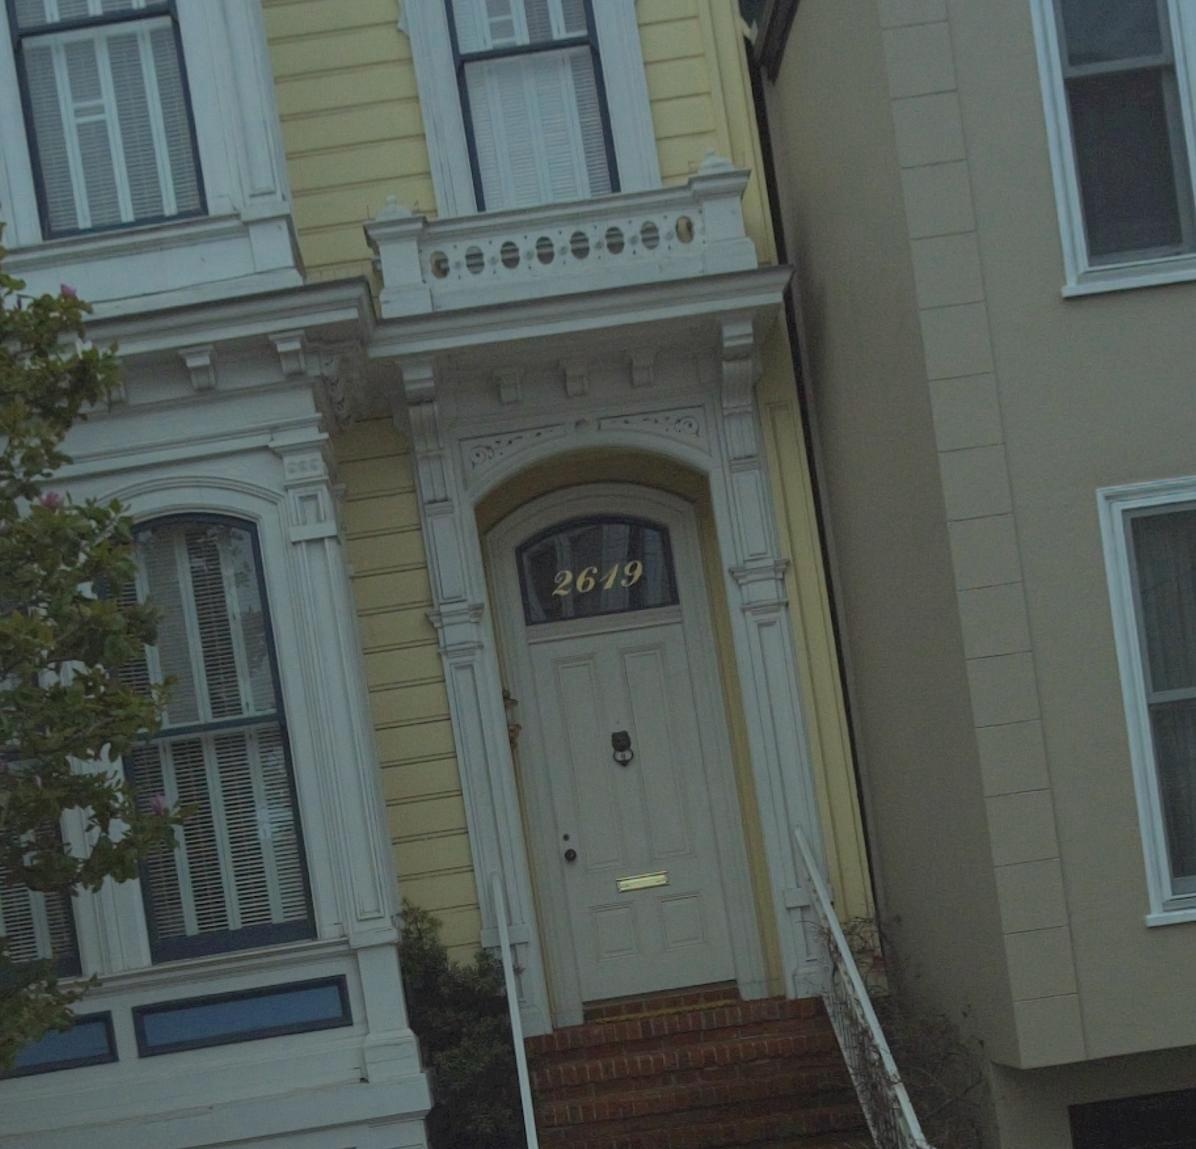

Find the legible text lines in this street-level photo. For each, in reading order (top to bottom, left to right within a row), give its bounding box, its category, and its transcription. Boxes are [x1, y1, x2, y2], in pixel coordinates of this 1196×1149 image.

[547, 557, 647, 602] StreetNumber: 2649